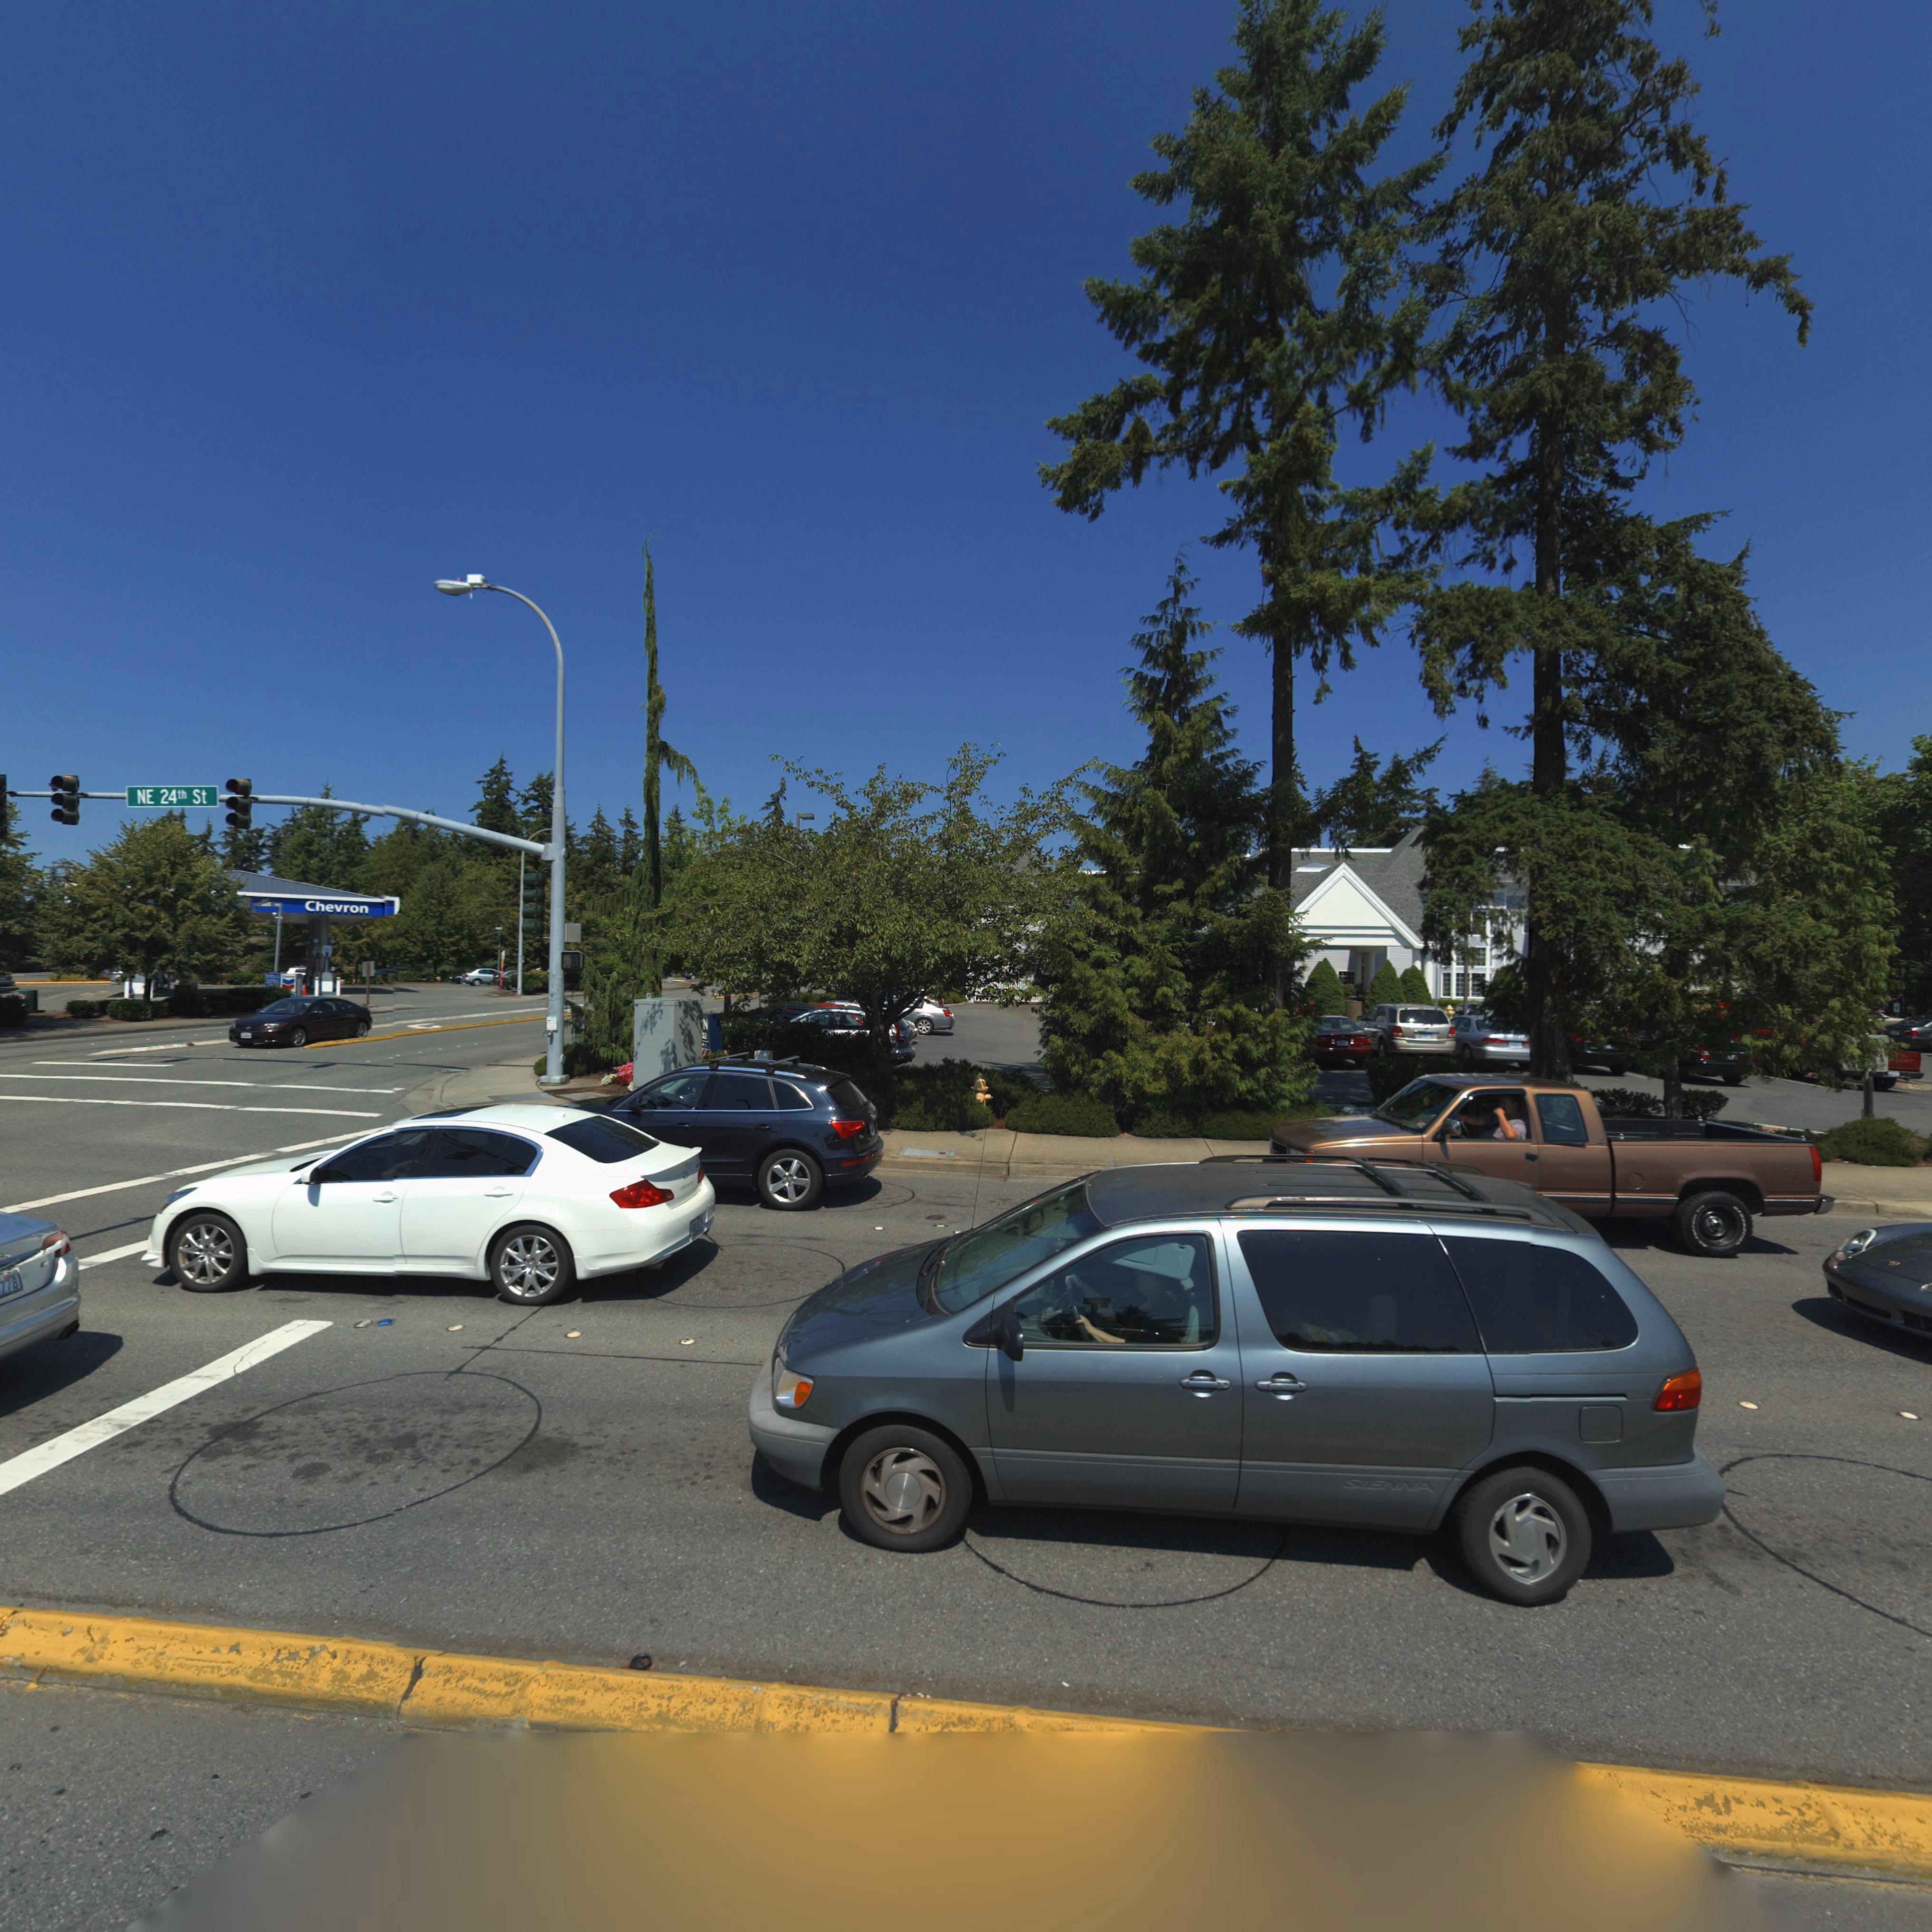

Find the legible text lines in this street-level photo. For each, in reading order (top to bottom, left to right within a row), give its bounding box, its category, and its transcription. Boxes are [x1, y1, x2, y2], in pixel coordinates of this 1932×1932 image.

[137, 789, 206, 803] StreetName: NE 24th St
[305, 900, 368, 914] BusinessName: Chevron